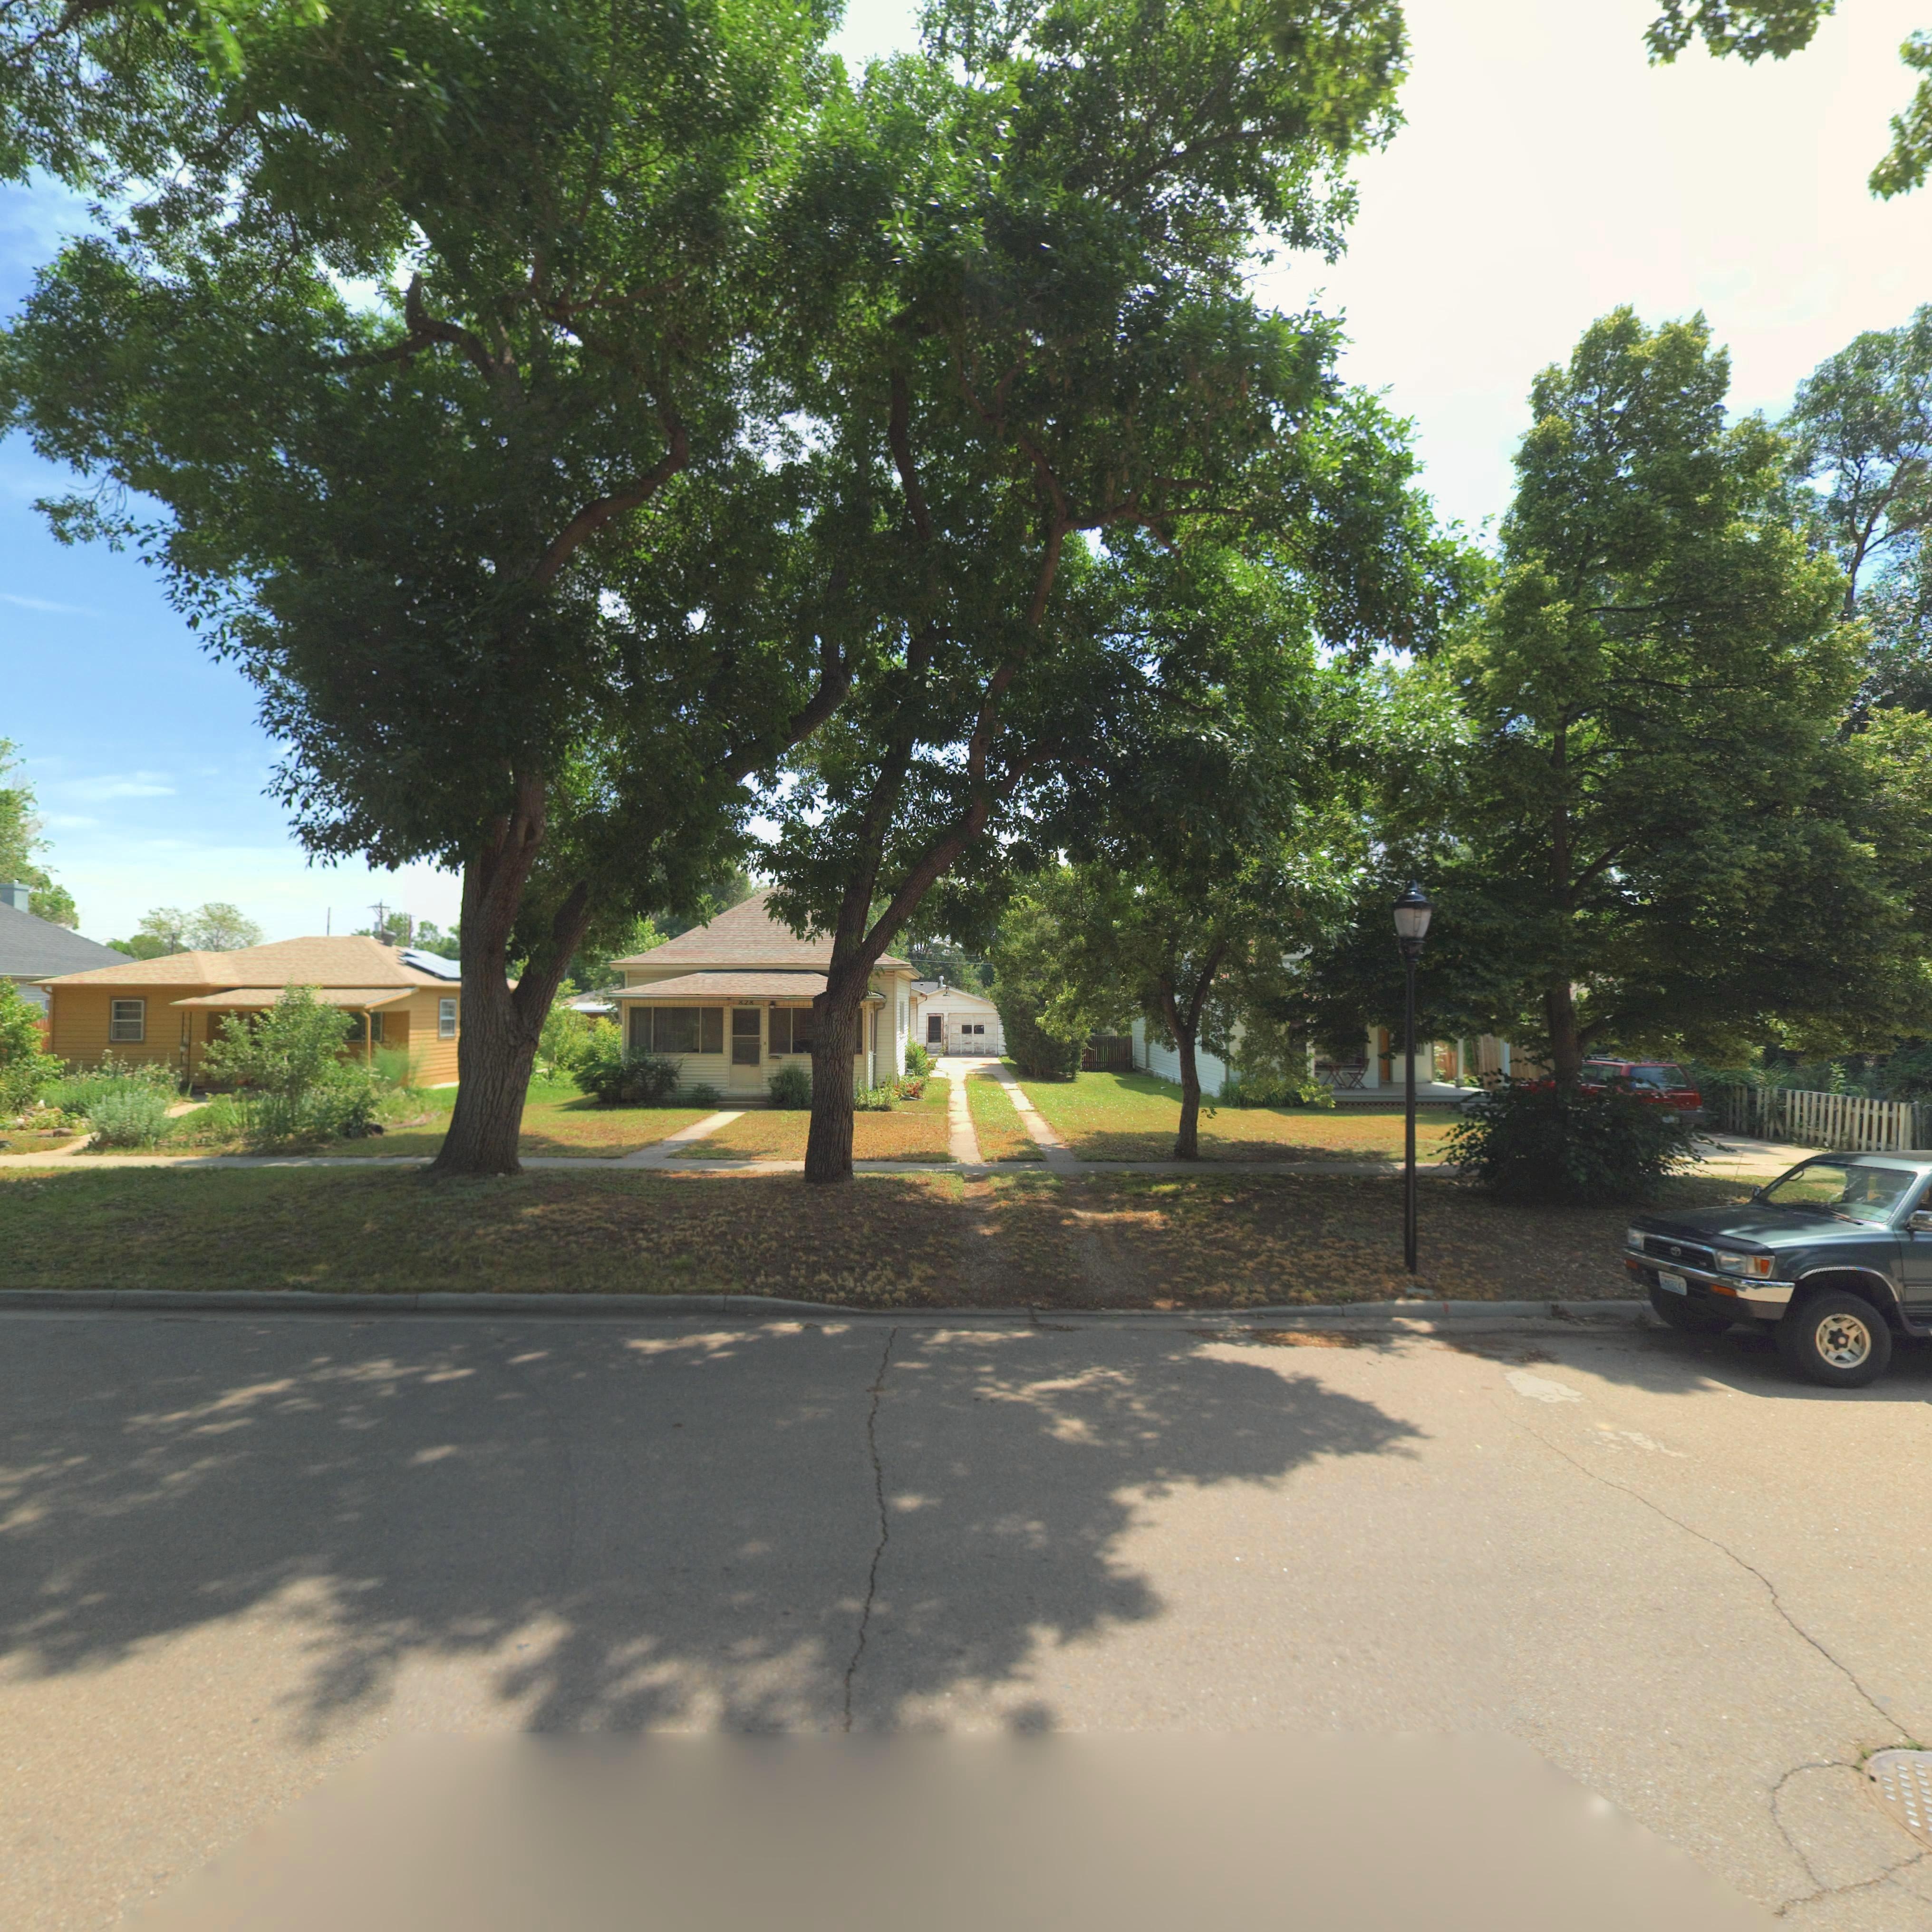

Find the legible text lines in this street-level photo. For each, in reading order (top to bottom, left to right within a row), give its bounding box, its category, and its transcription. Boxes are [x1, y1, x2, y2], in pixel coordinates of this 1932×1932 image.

[738, 1000, 753, 1005] StreetNumber: 828